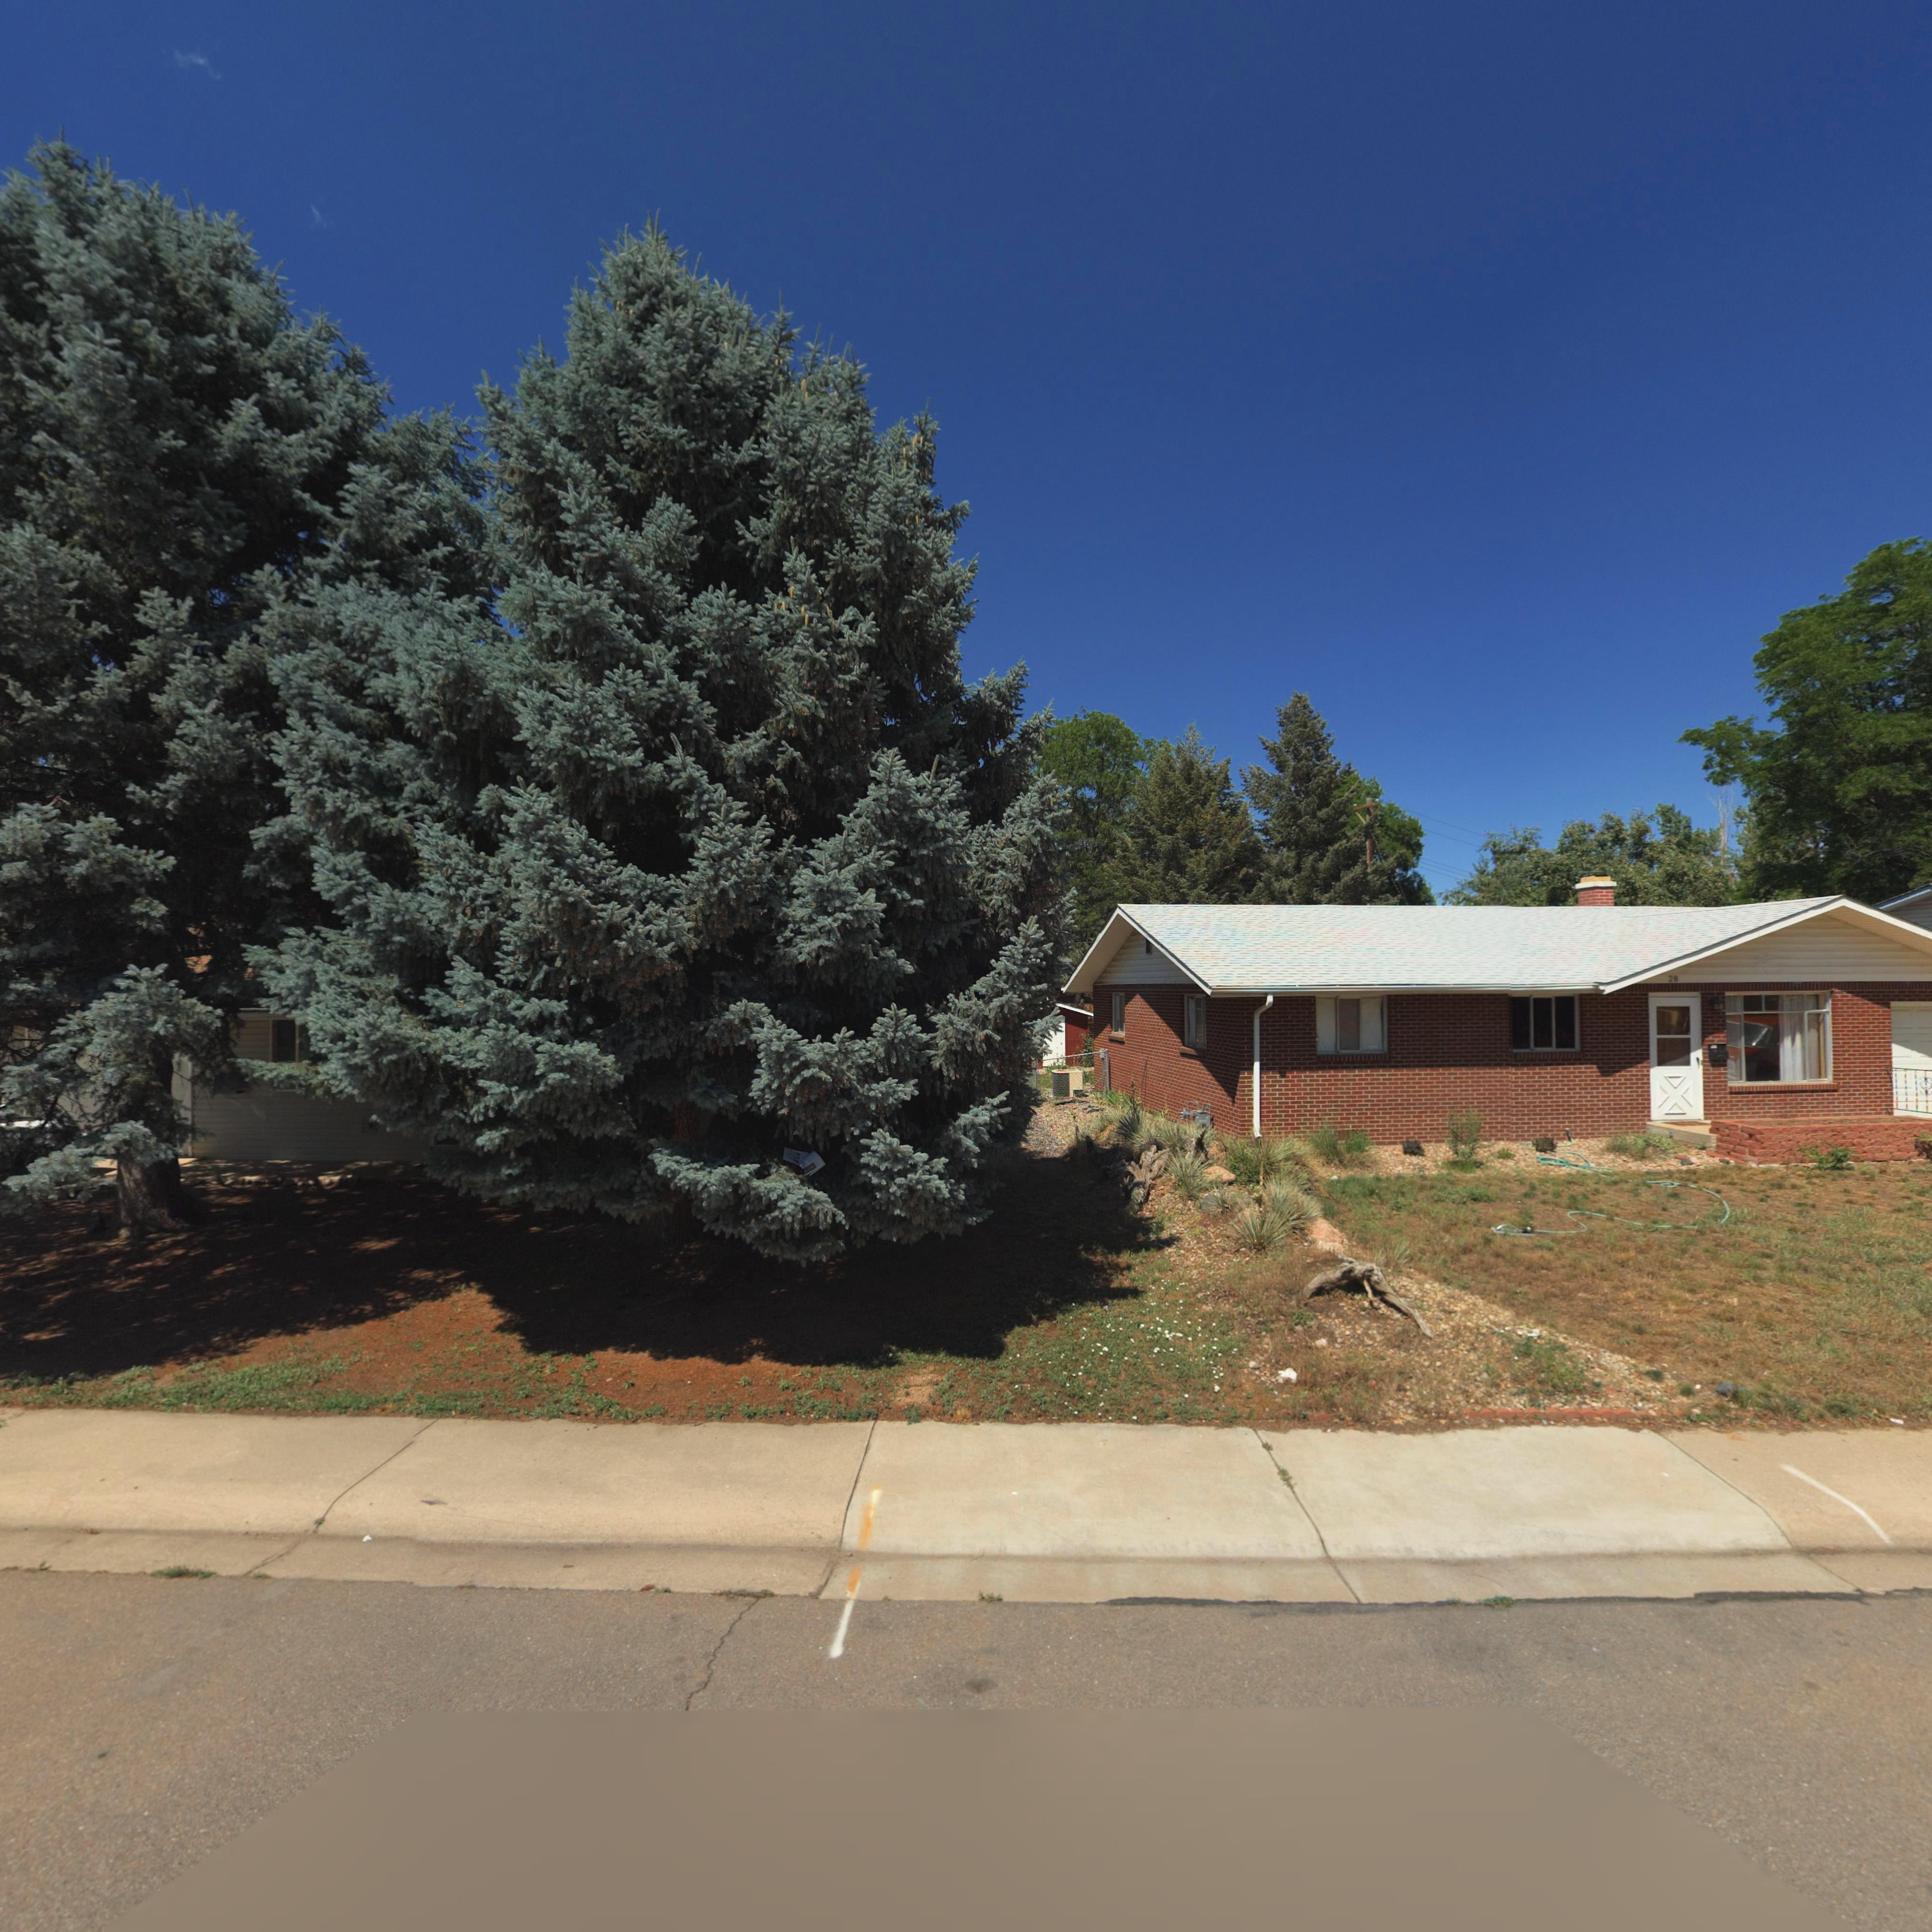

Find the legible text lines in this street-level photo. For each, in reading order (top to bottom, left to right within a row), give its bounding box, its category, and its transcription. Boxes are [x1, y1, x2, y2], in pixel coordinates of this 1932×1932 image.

[1668, 975, 1679, 982] StreetNumber: 28